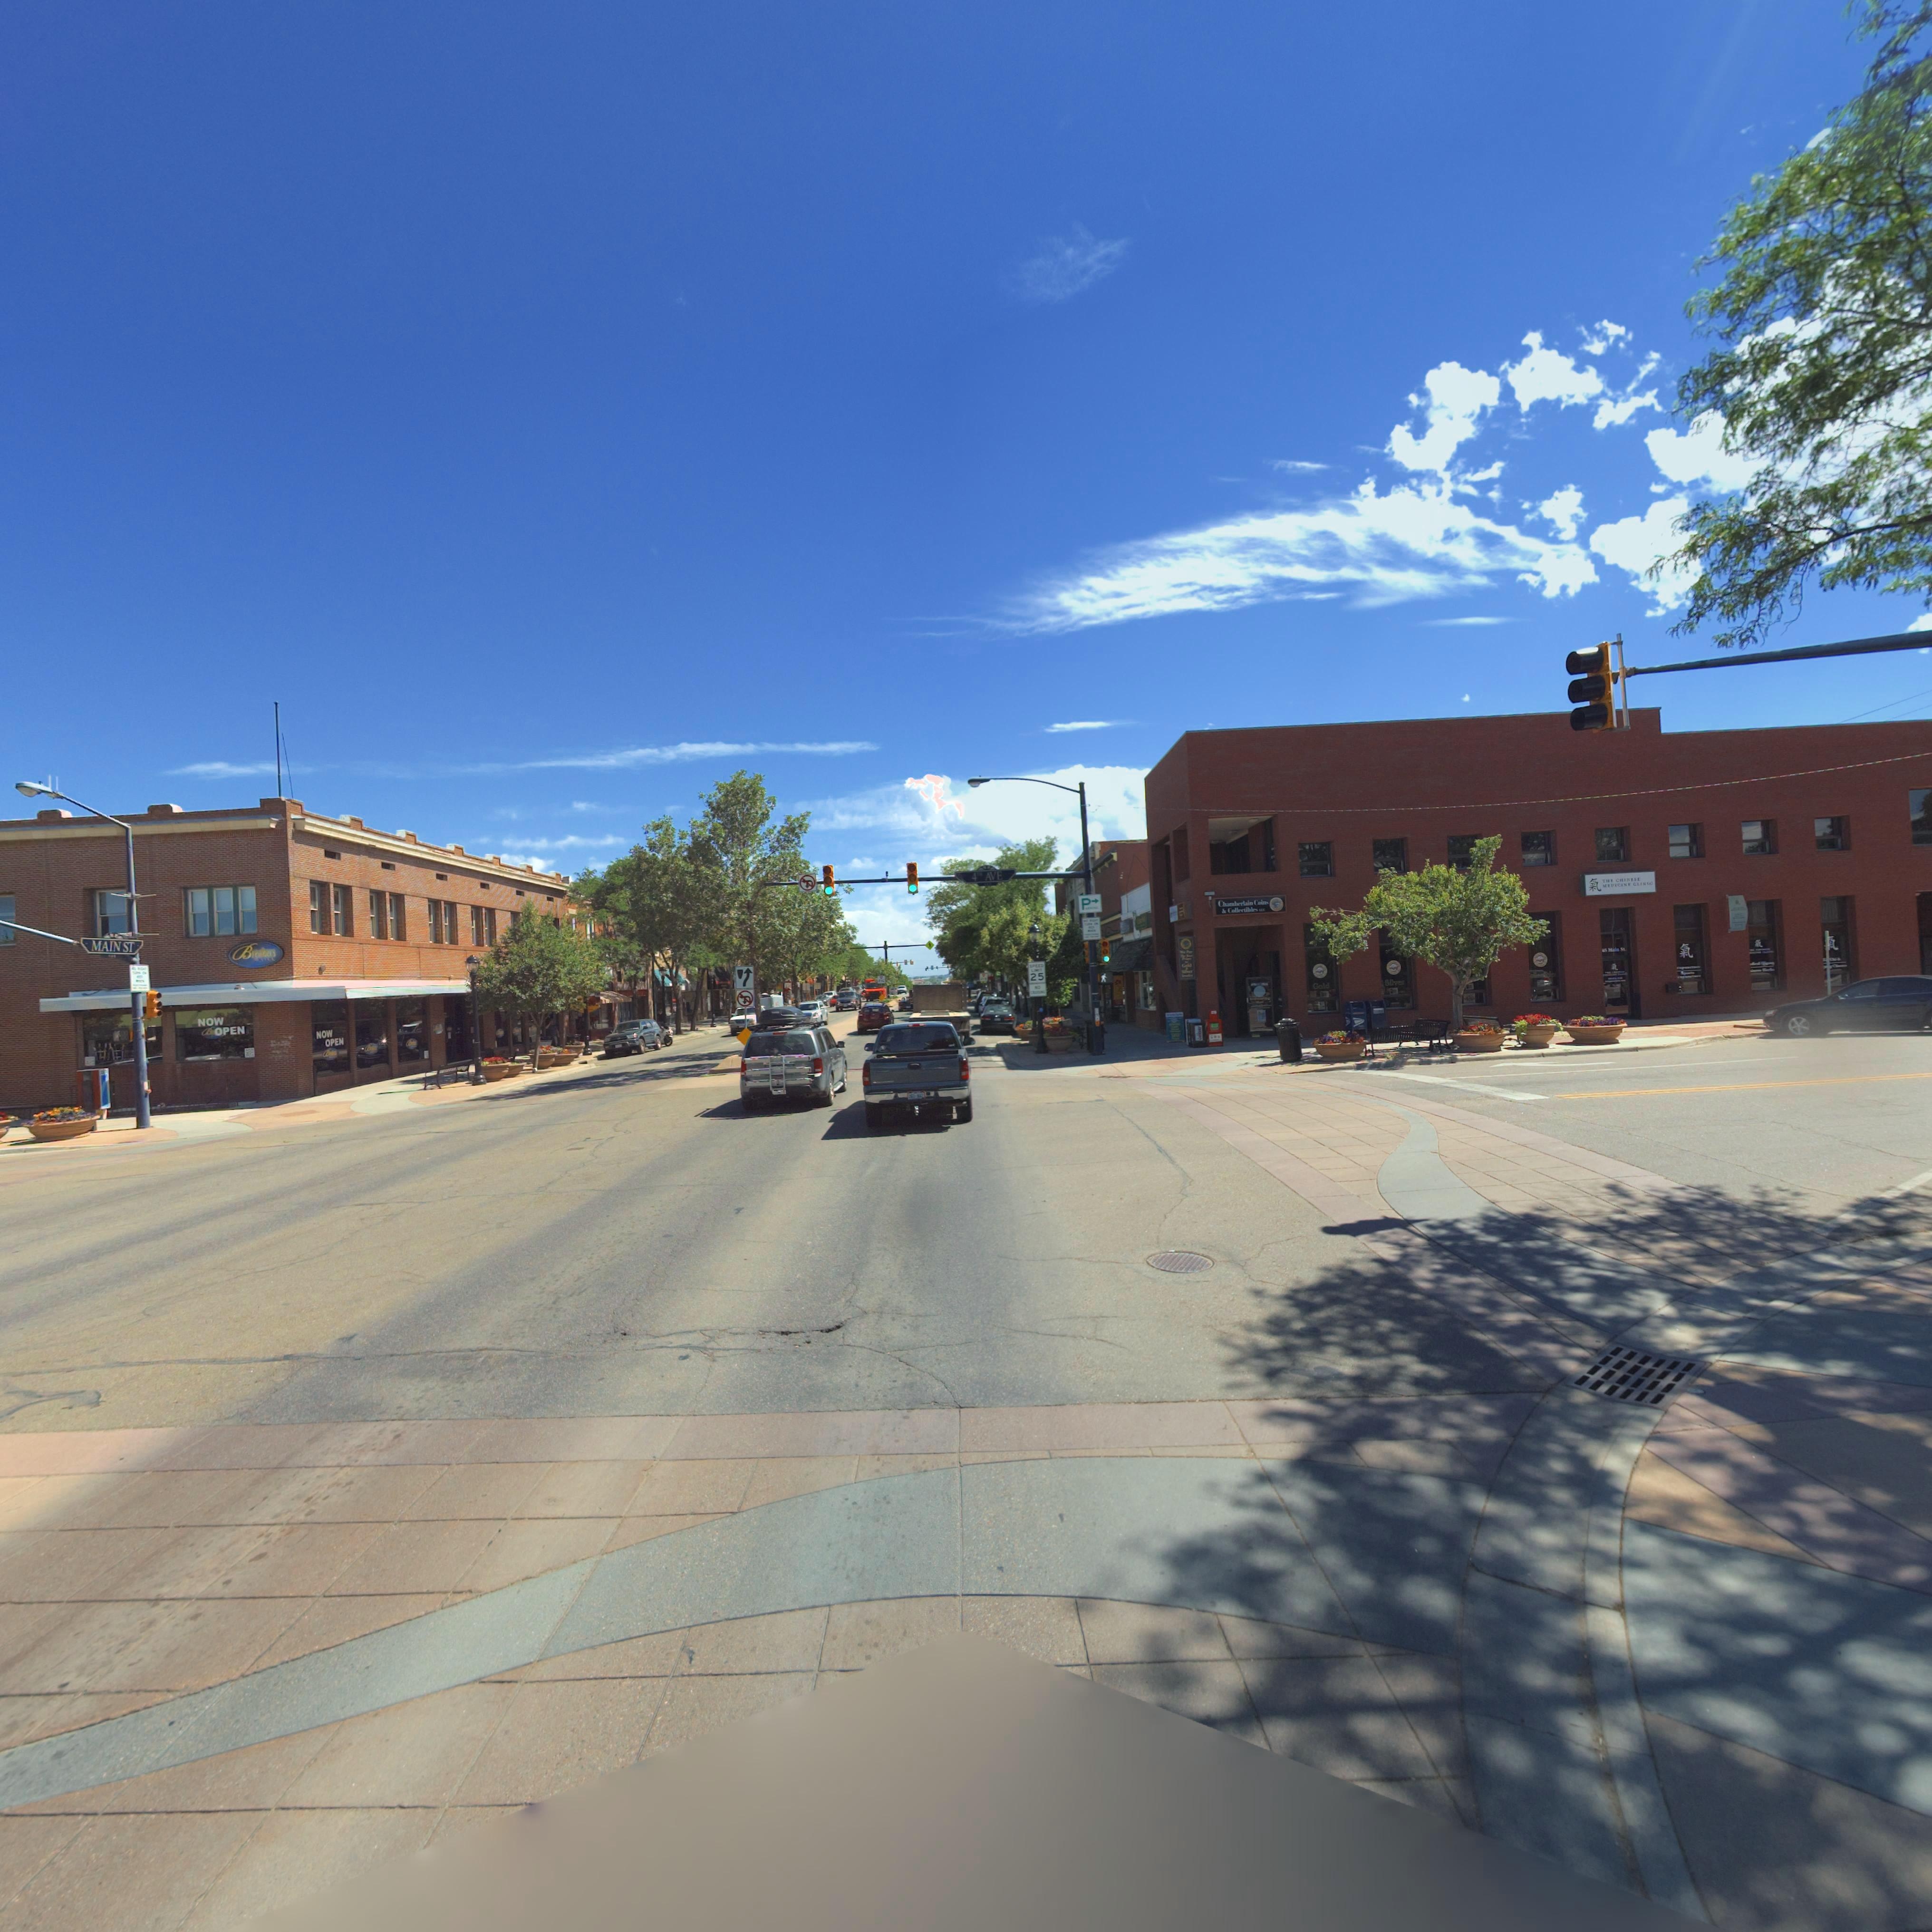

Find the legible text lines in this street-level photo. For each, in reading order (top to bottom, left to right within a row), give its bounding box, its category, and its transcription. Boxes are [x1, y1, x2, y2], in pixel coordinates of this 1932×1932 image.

[970, 870, 1003, 881] StreetName: 4TH AVE
[1601, 877, 1641, 883] BusinessName: The Chin**E
[1602, 881, 1653, 888] BusinessName: ME*ICINE CLINIC
[1217, 899, 1269, 907] BusinessName: Chamberlain Ce**r
[1221, 907, 1265, 914] BusinessName: & Collectables LLC
[91, 939, 136, 952] StreetName: MAIN ST
[236, 945, 276, 960] BusinessName: Breakers
[1607, 947, 1626, 952] StreetName: Main St
[254, 957, 275, 961] BusinessName: ***LL
[204, 1027, 213, 1035] BusinessName: B